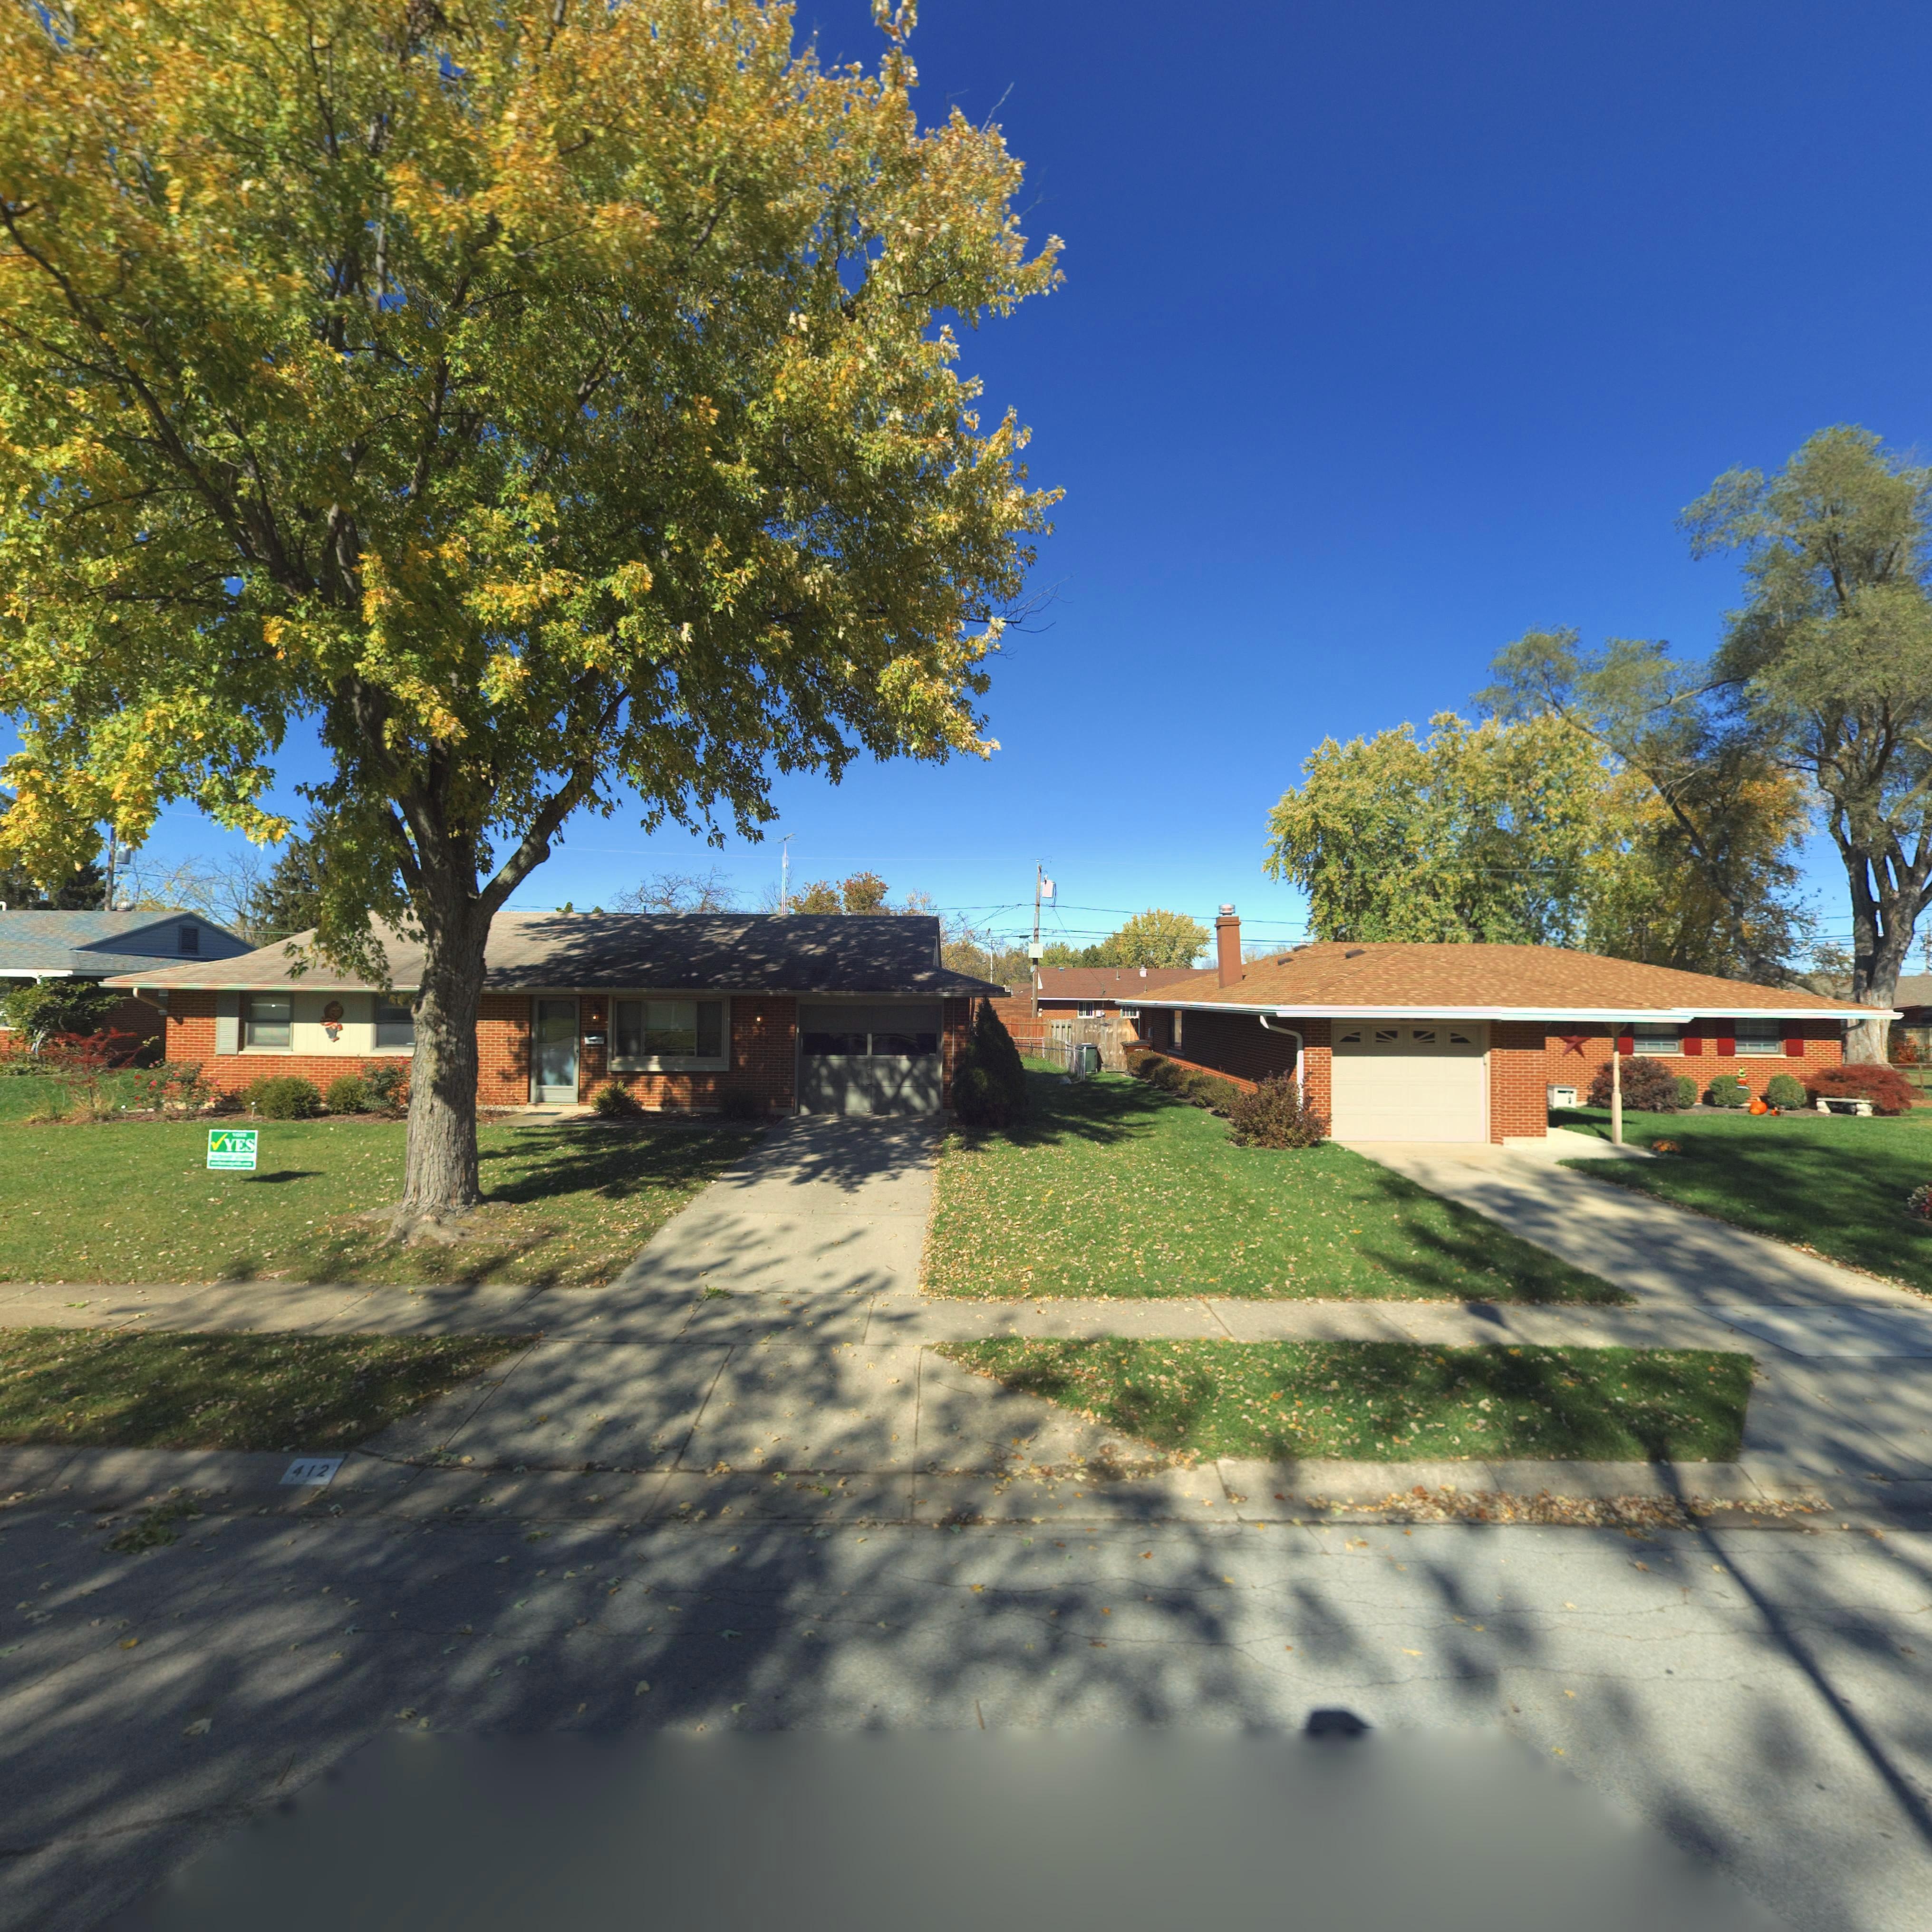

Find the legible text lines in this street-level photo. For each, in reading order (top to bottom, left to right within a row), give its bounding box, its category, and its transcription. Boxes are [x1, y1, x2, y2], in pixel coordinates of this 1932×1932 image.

[292, 1463, 330, 1478] StreetNumber: 412